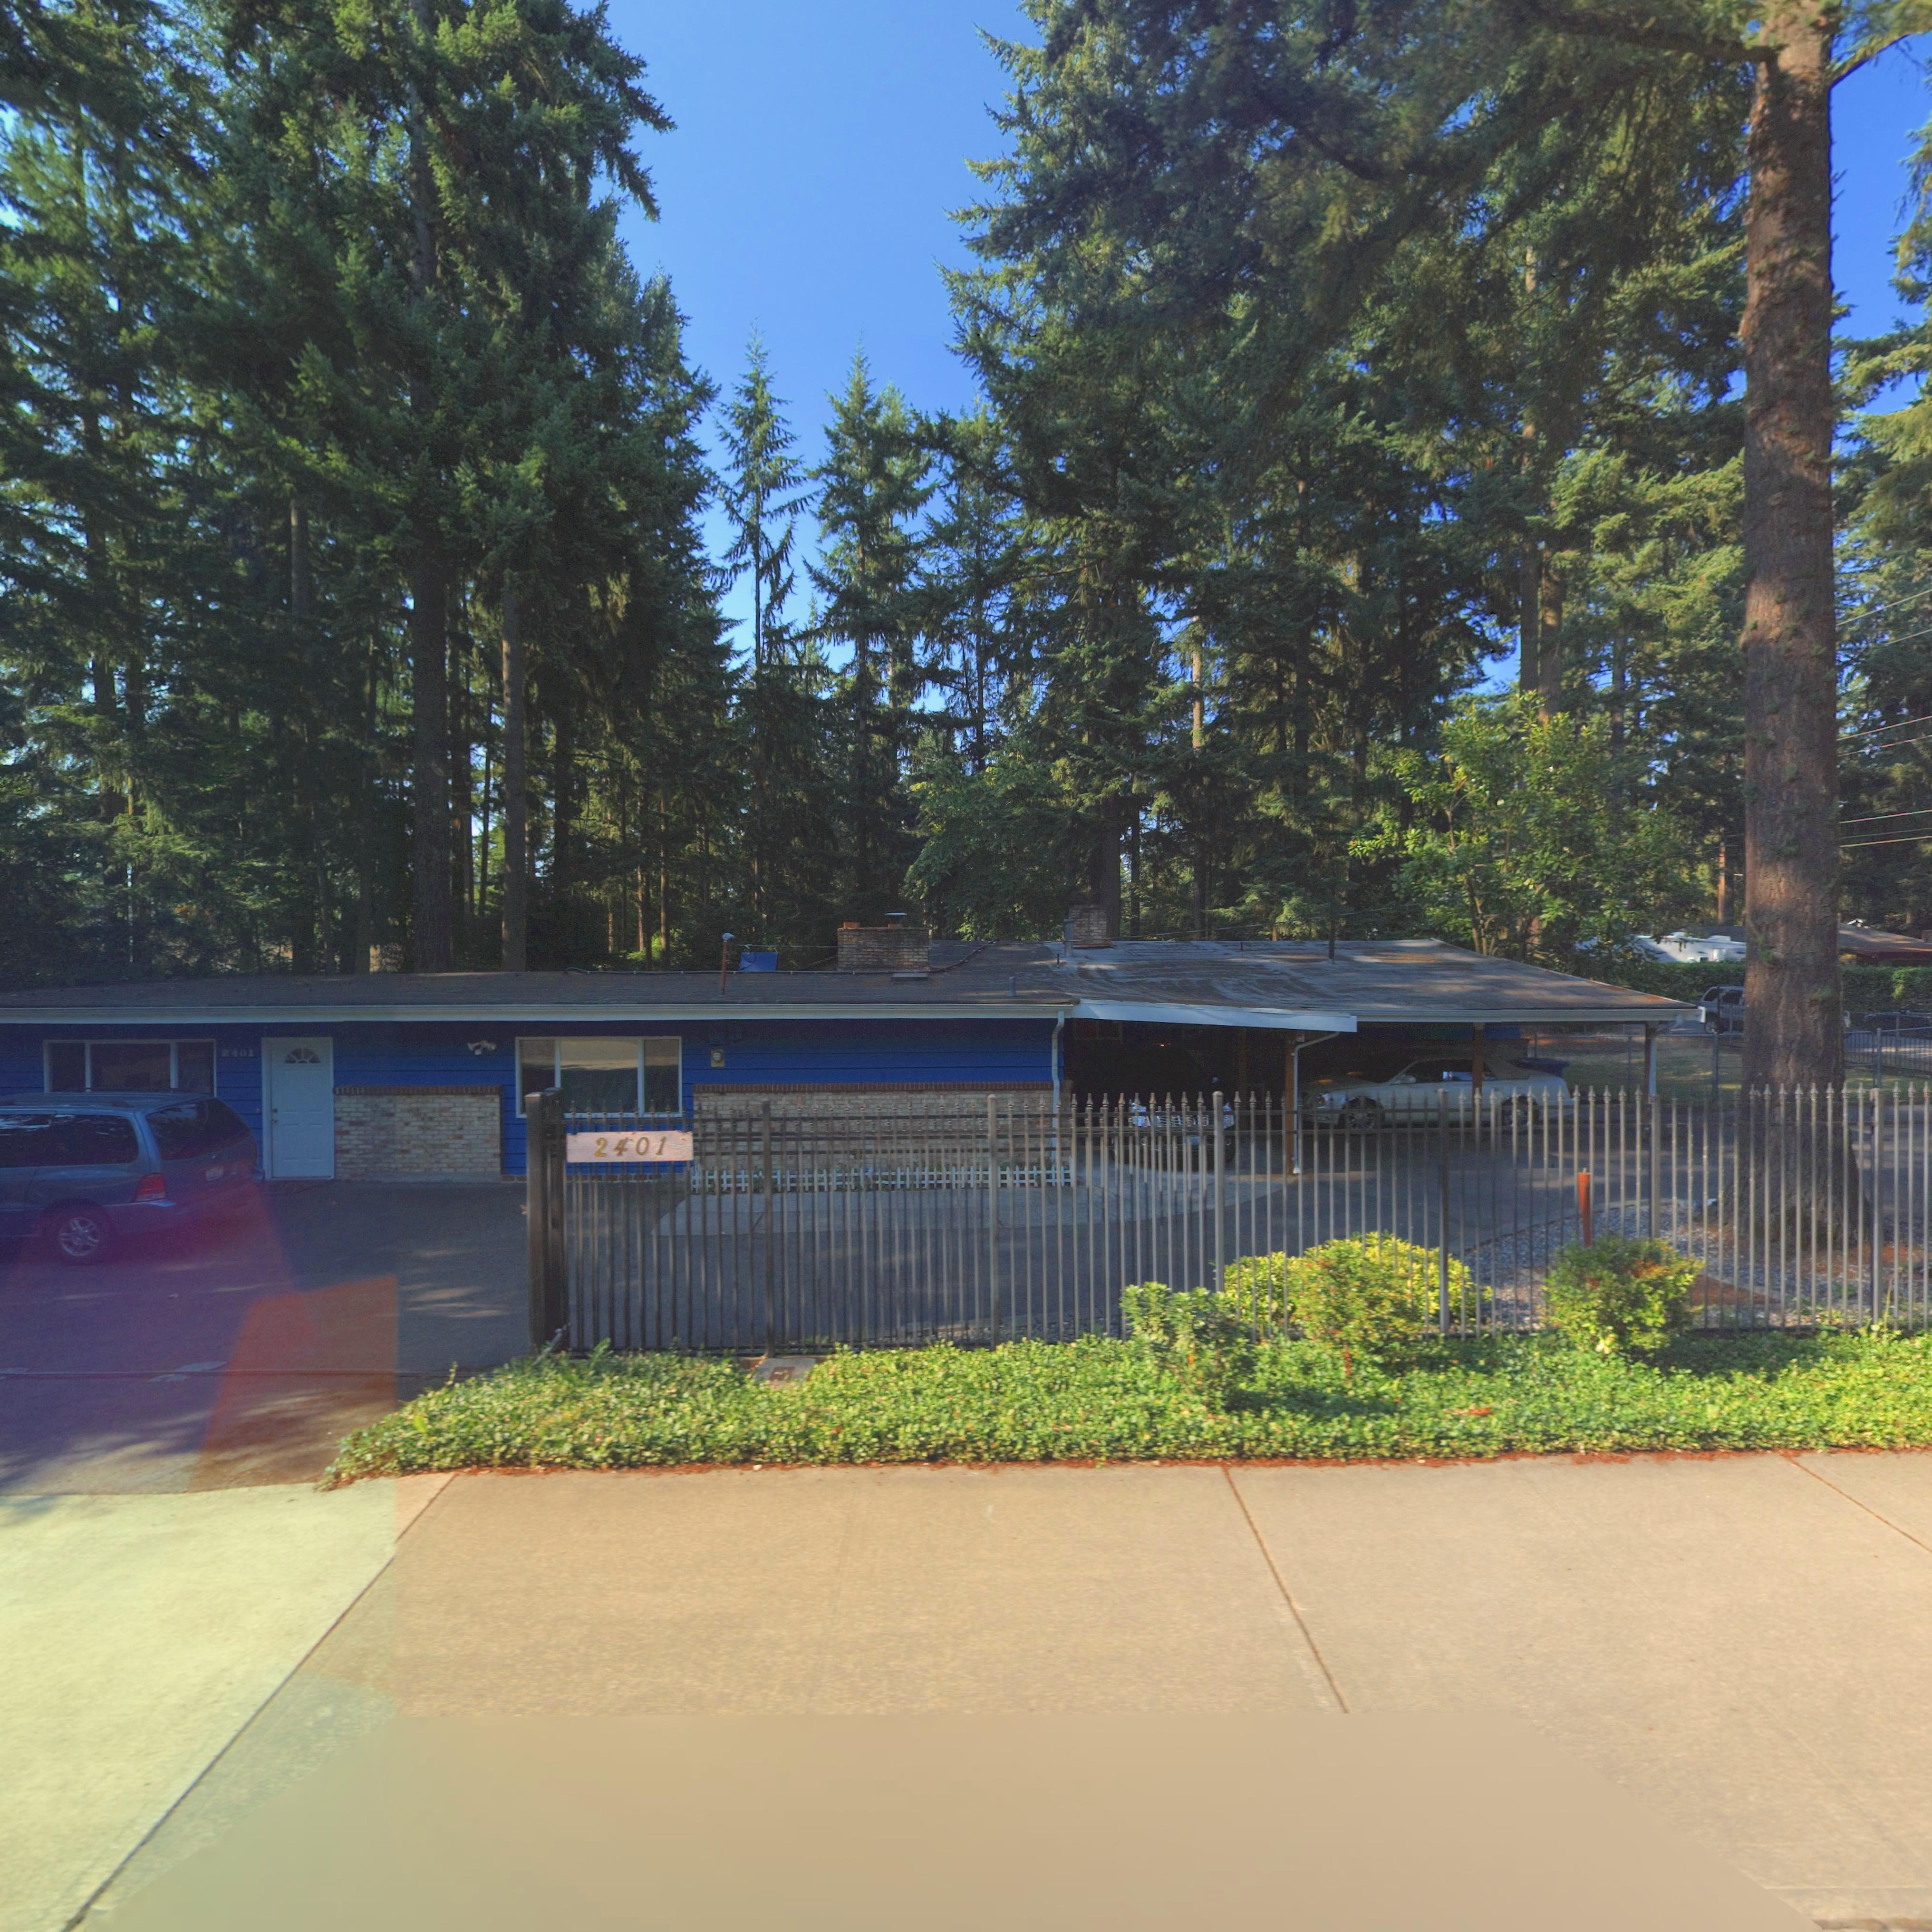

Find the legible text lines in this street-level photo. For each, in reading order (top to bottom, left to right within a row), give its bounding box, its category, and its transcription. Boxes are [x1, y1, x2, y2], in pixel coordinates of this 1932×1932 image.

[593, 1135, 667, 1157] StreetNumber: 2401